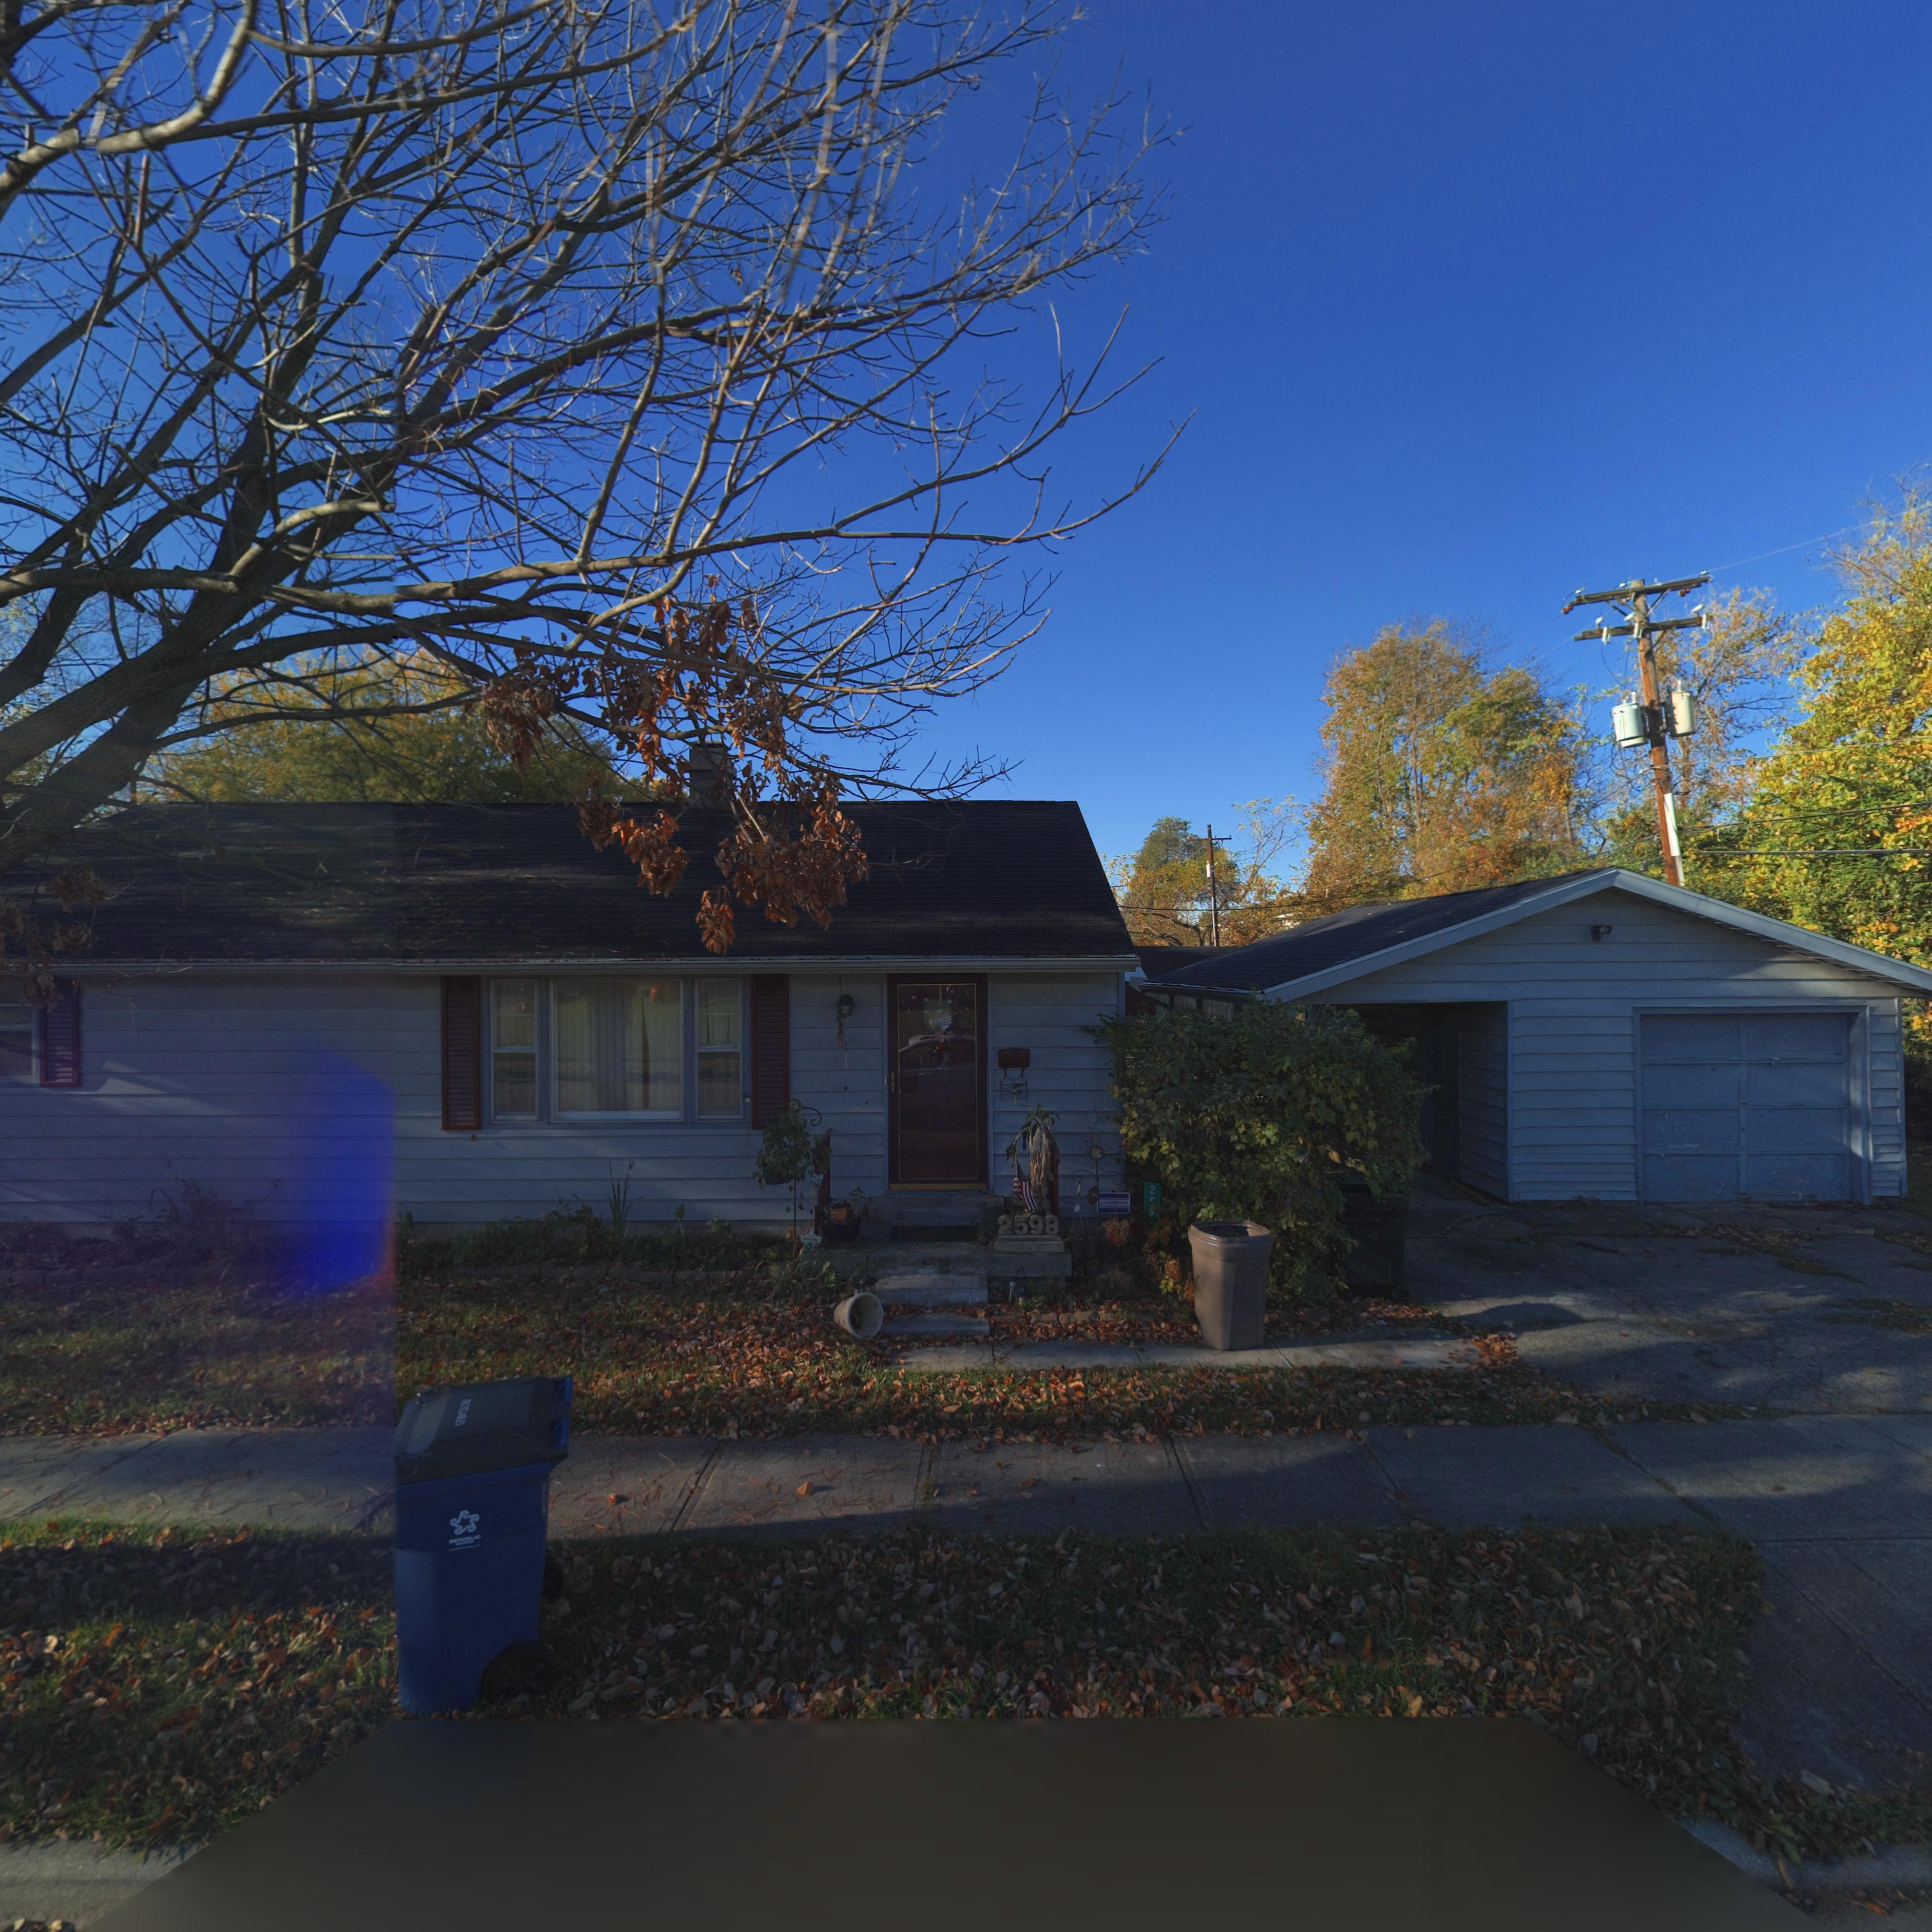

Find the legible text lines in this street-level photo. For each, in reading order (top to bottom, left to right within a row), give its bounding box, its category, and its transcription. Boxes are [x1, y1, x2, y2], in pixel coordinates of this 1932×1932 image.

[1148, 1184, 1156, 1217] StreetNumber: 259
[996, 1214, 1059, 1235] StreetNumber: 2598